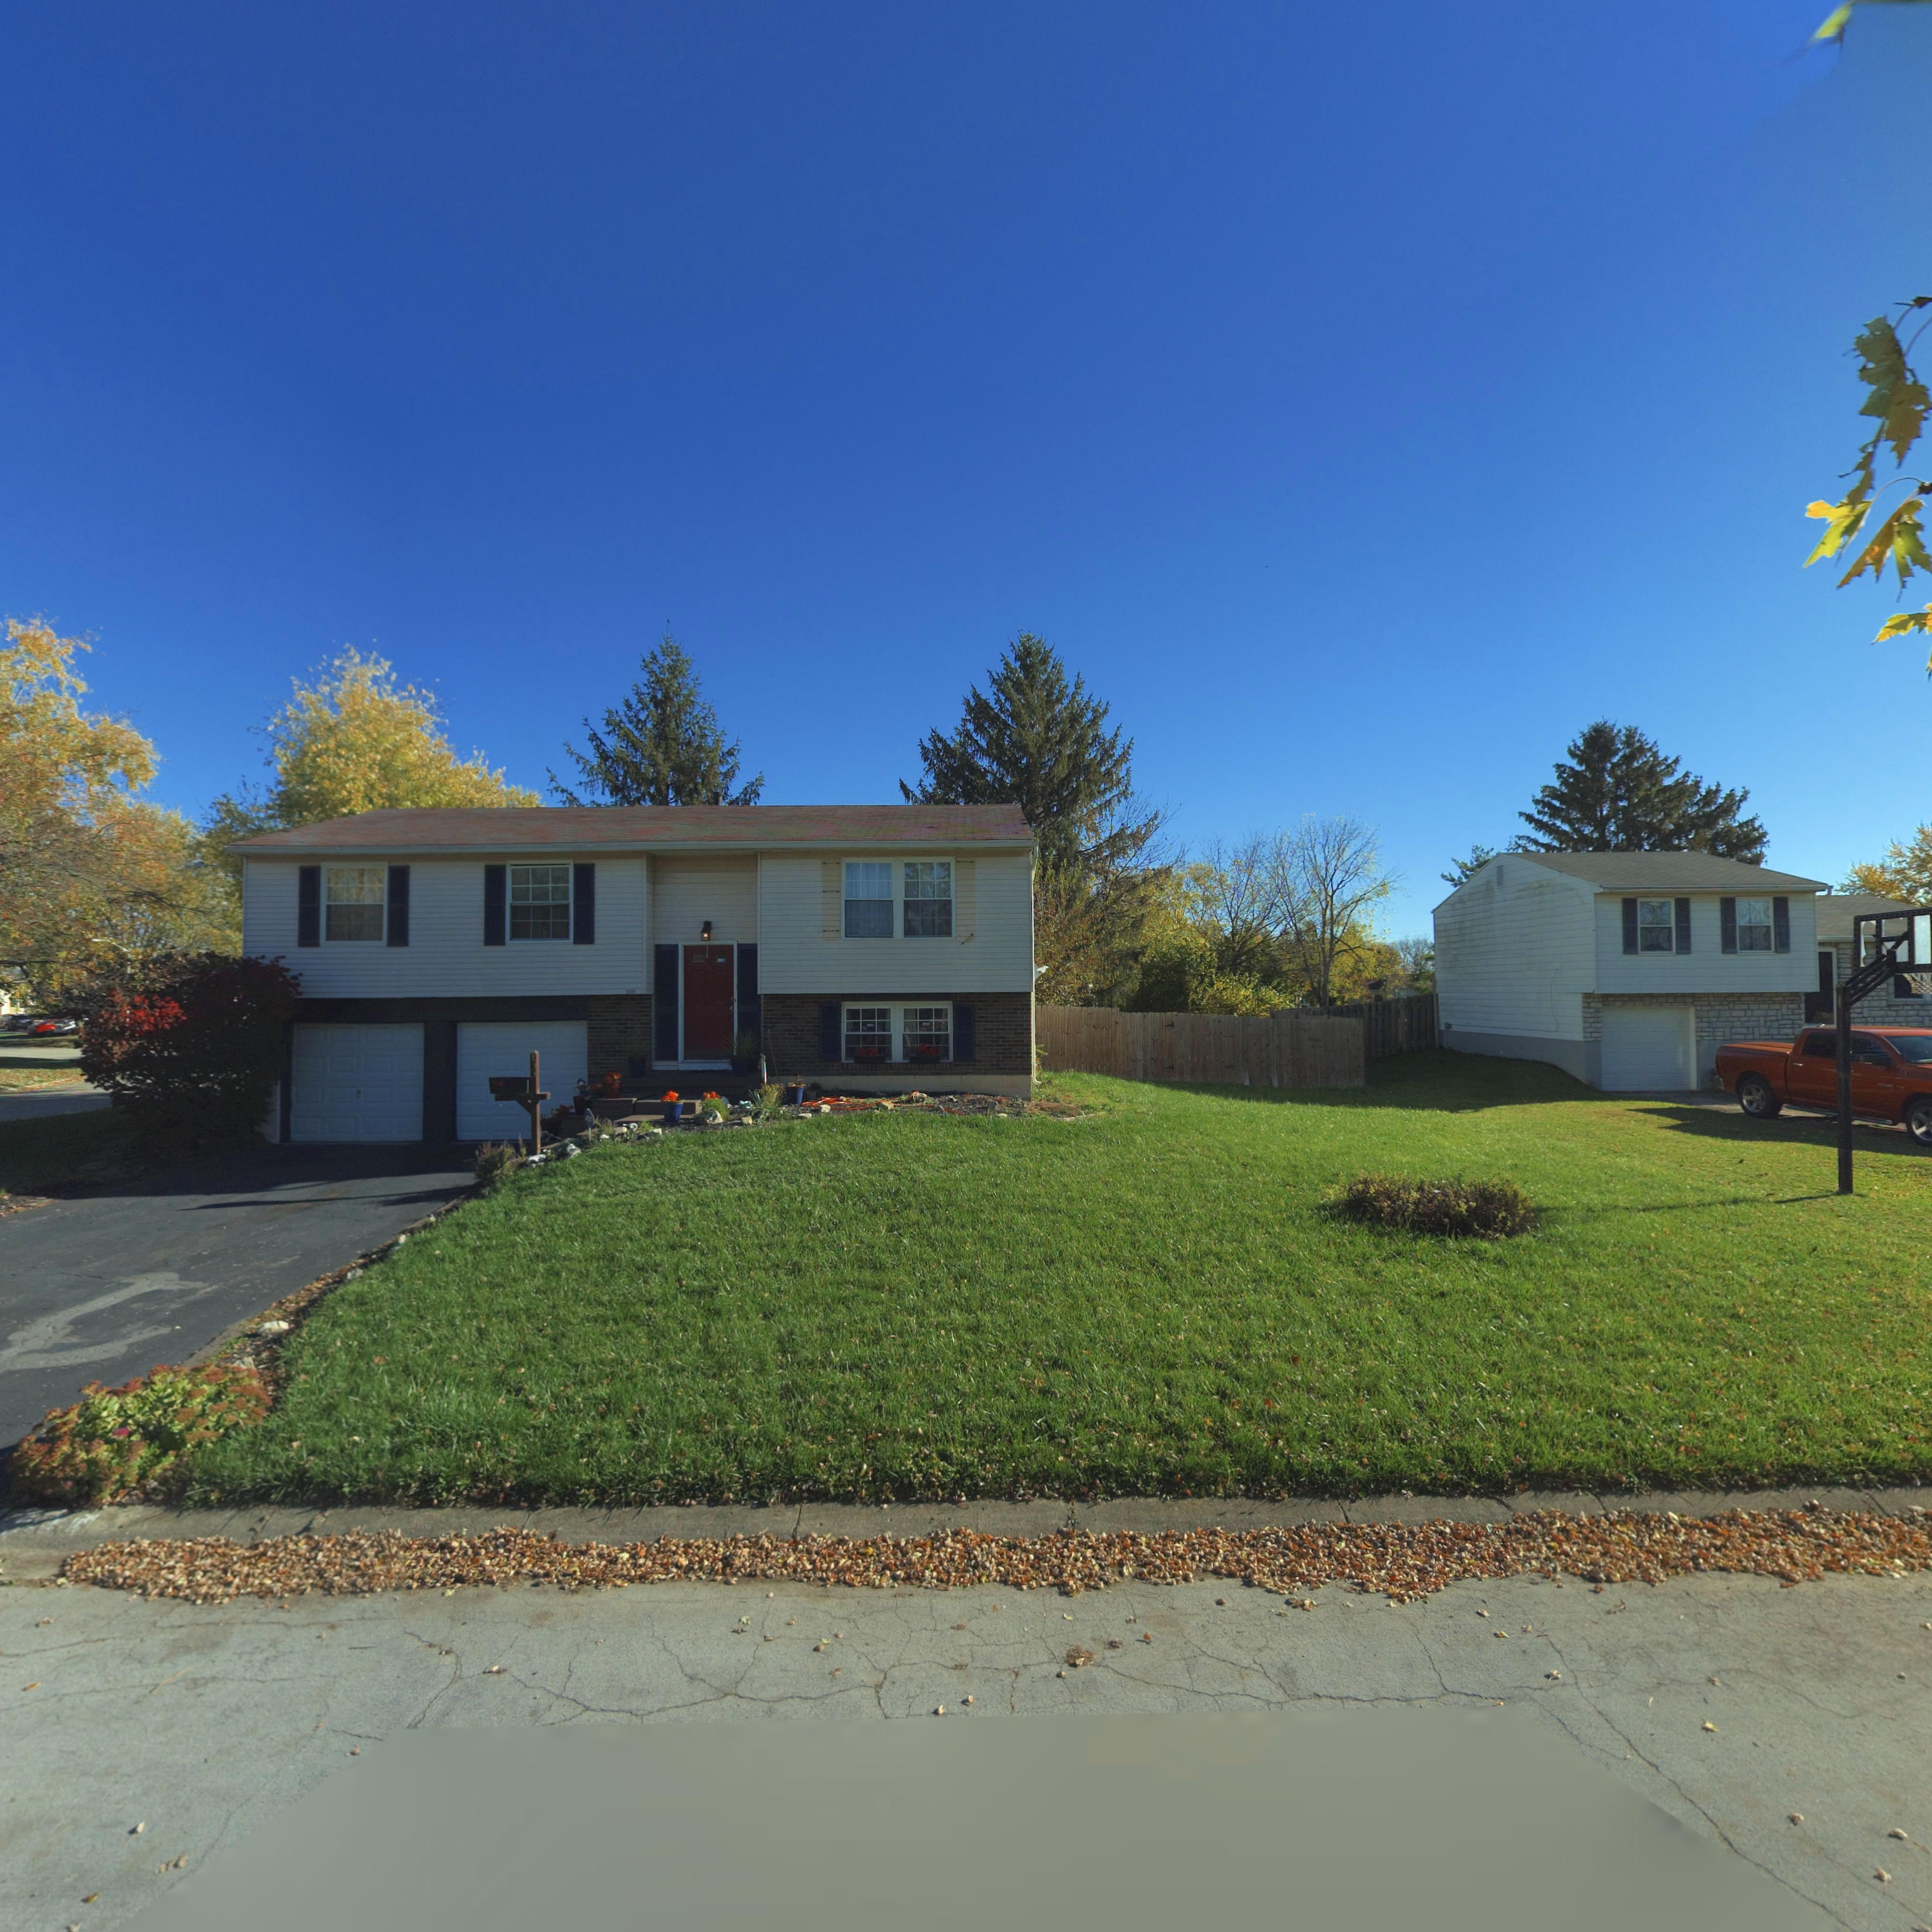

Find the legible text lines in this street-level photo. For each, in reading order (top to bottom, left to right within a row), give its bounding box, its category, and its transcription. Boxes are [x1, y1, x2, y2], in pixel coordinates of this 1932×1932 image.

[626, 988, 636, 995] StreetNumber: 100
[530, 1054, 536, 1079] StreetNumber: 100